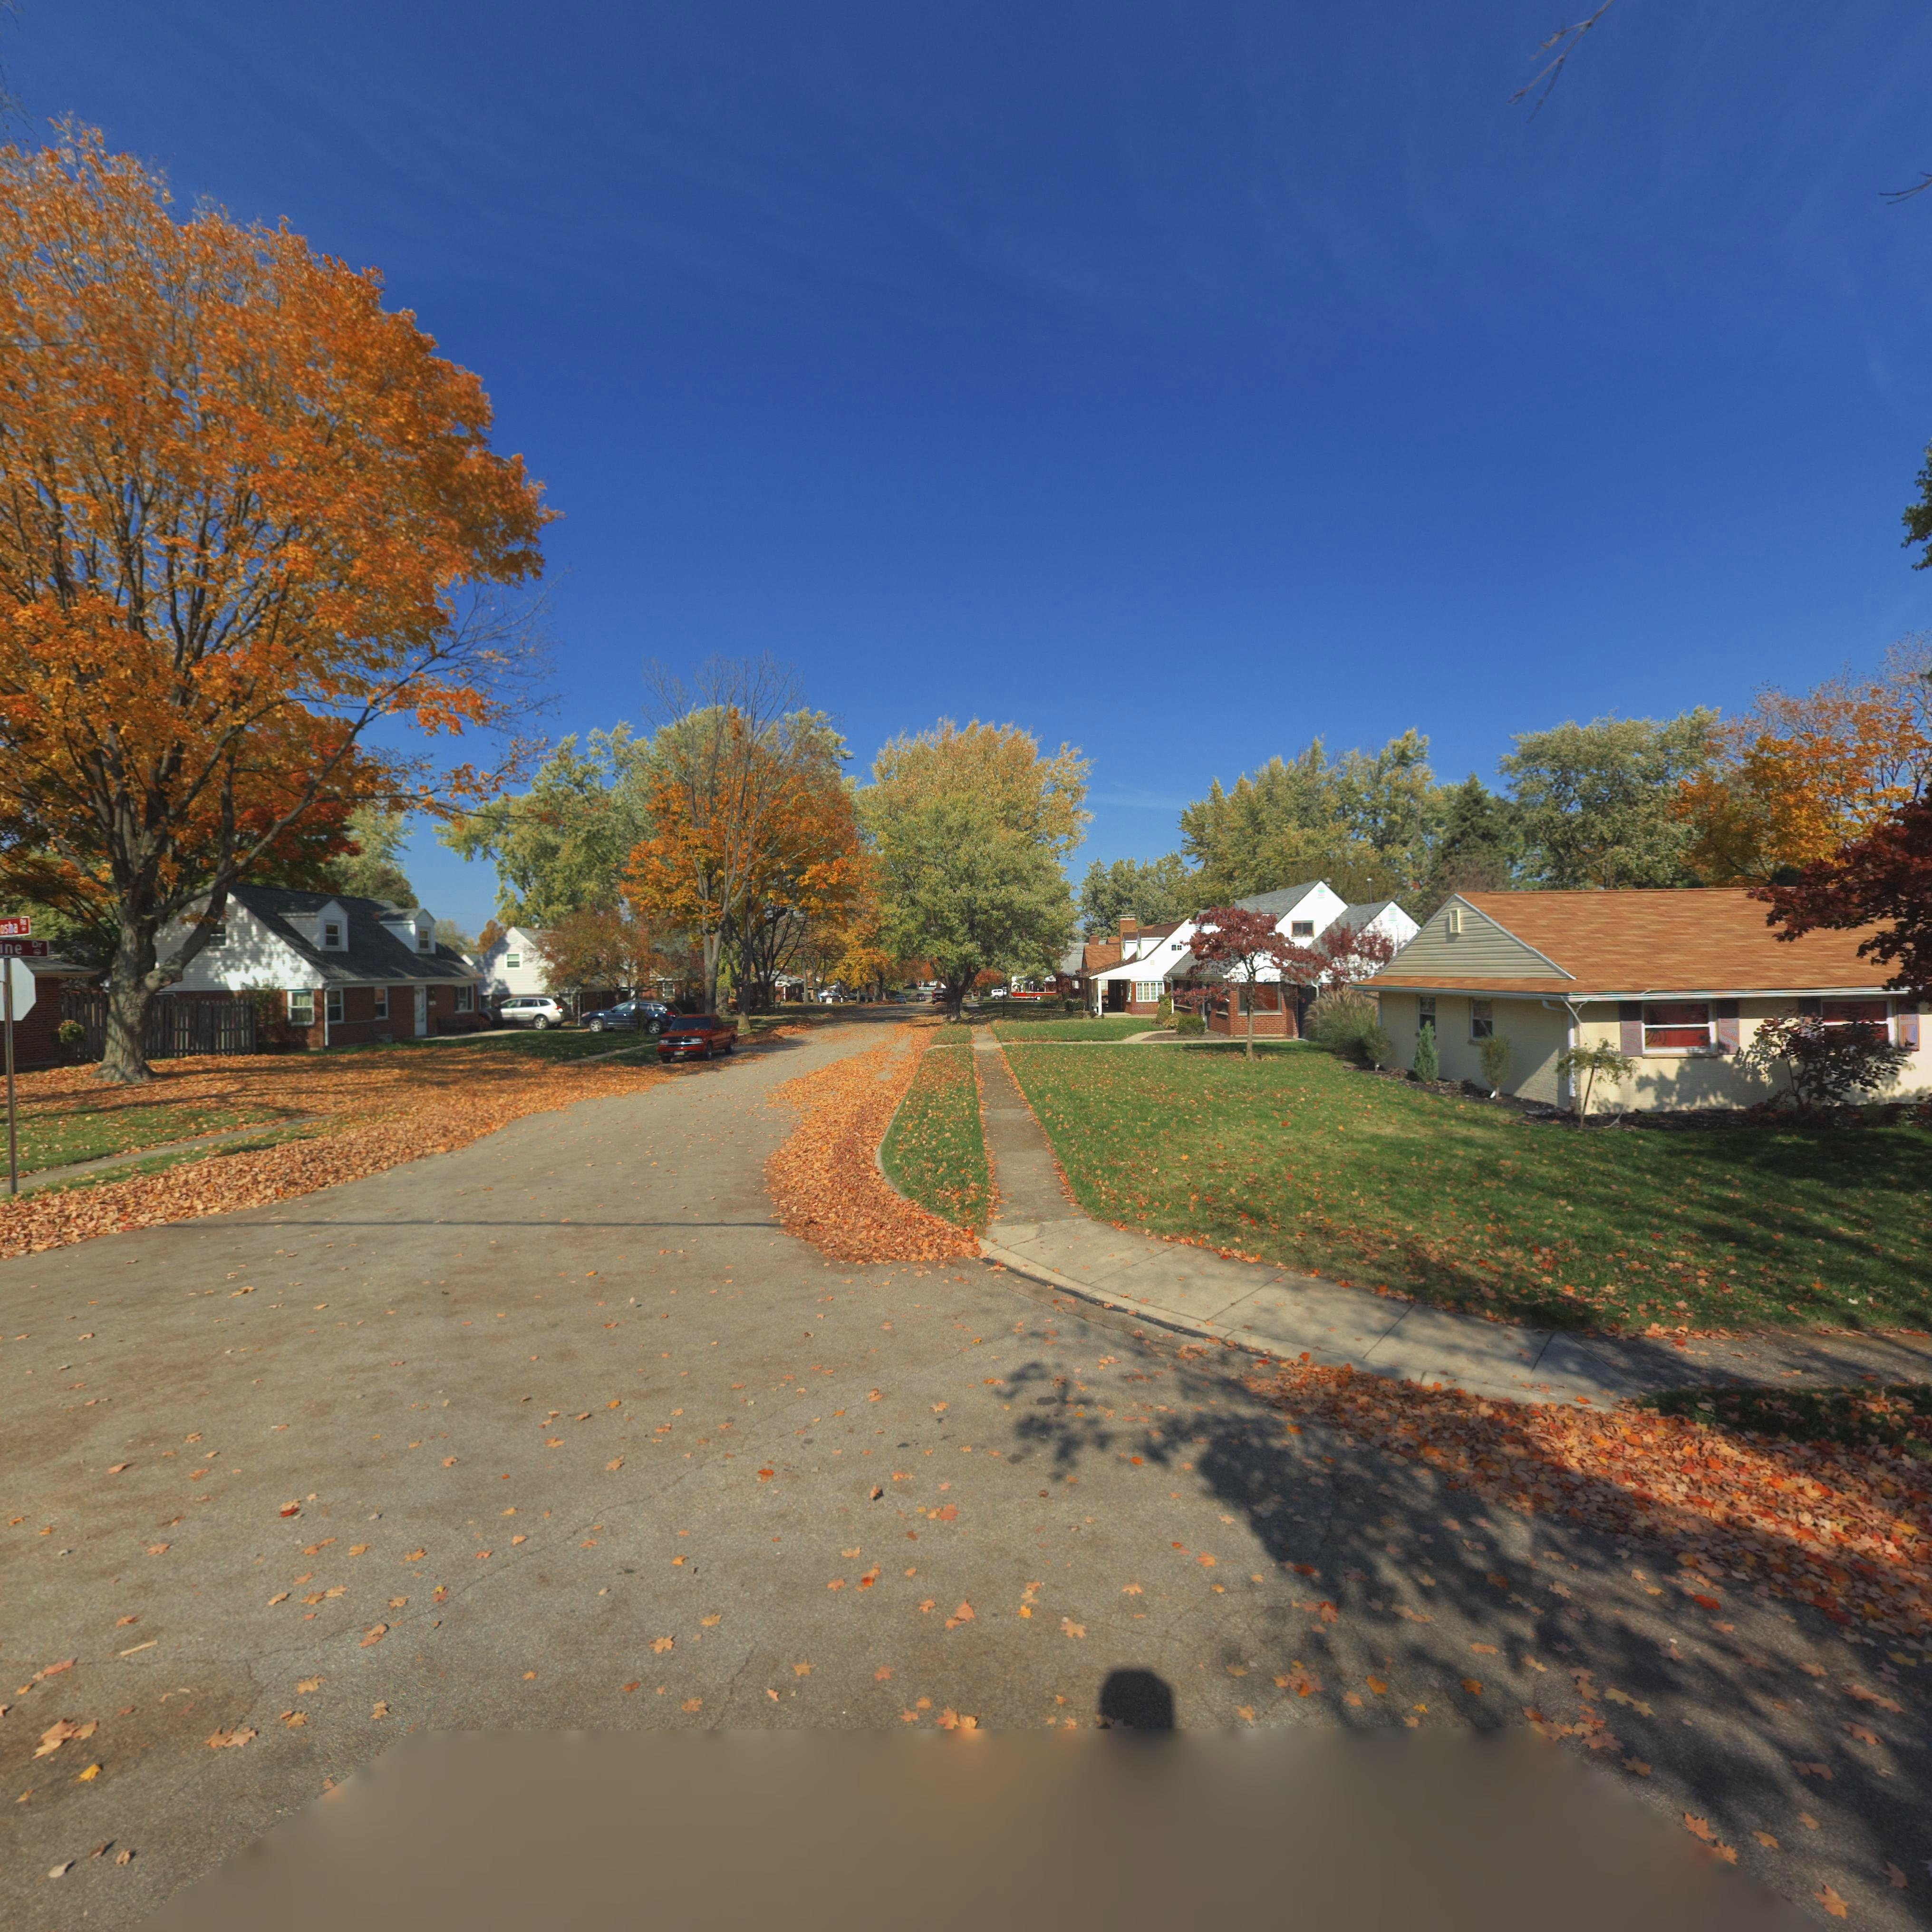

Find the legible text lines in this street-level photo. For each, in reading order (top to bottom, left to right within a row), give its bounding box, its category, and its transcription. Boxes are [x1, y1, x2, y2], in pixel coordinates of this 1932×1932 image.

[2, 917, 29, 936] StreetName: sha Rd
[3, 940, 44, 956] StreetName: ne Dr